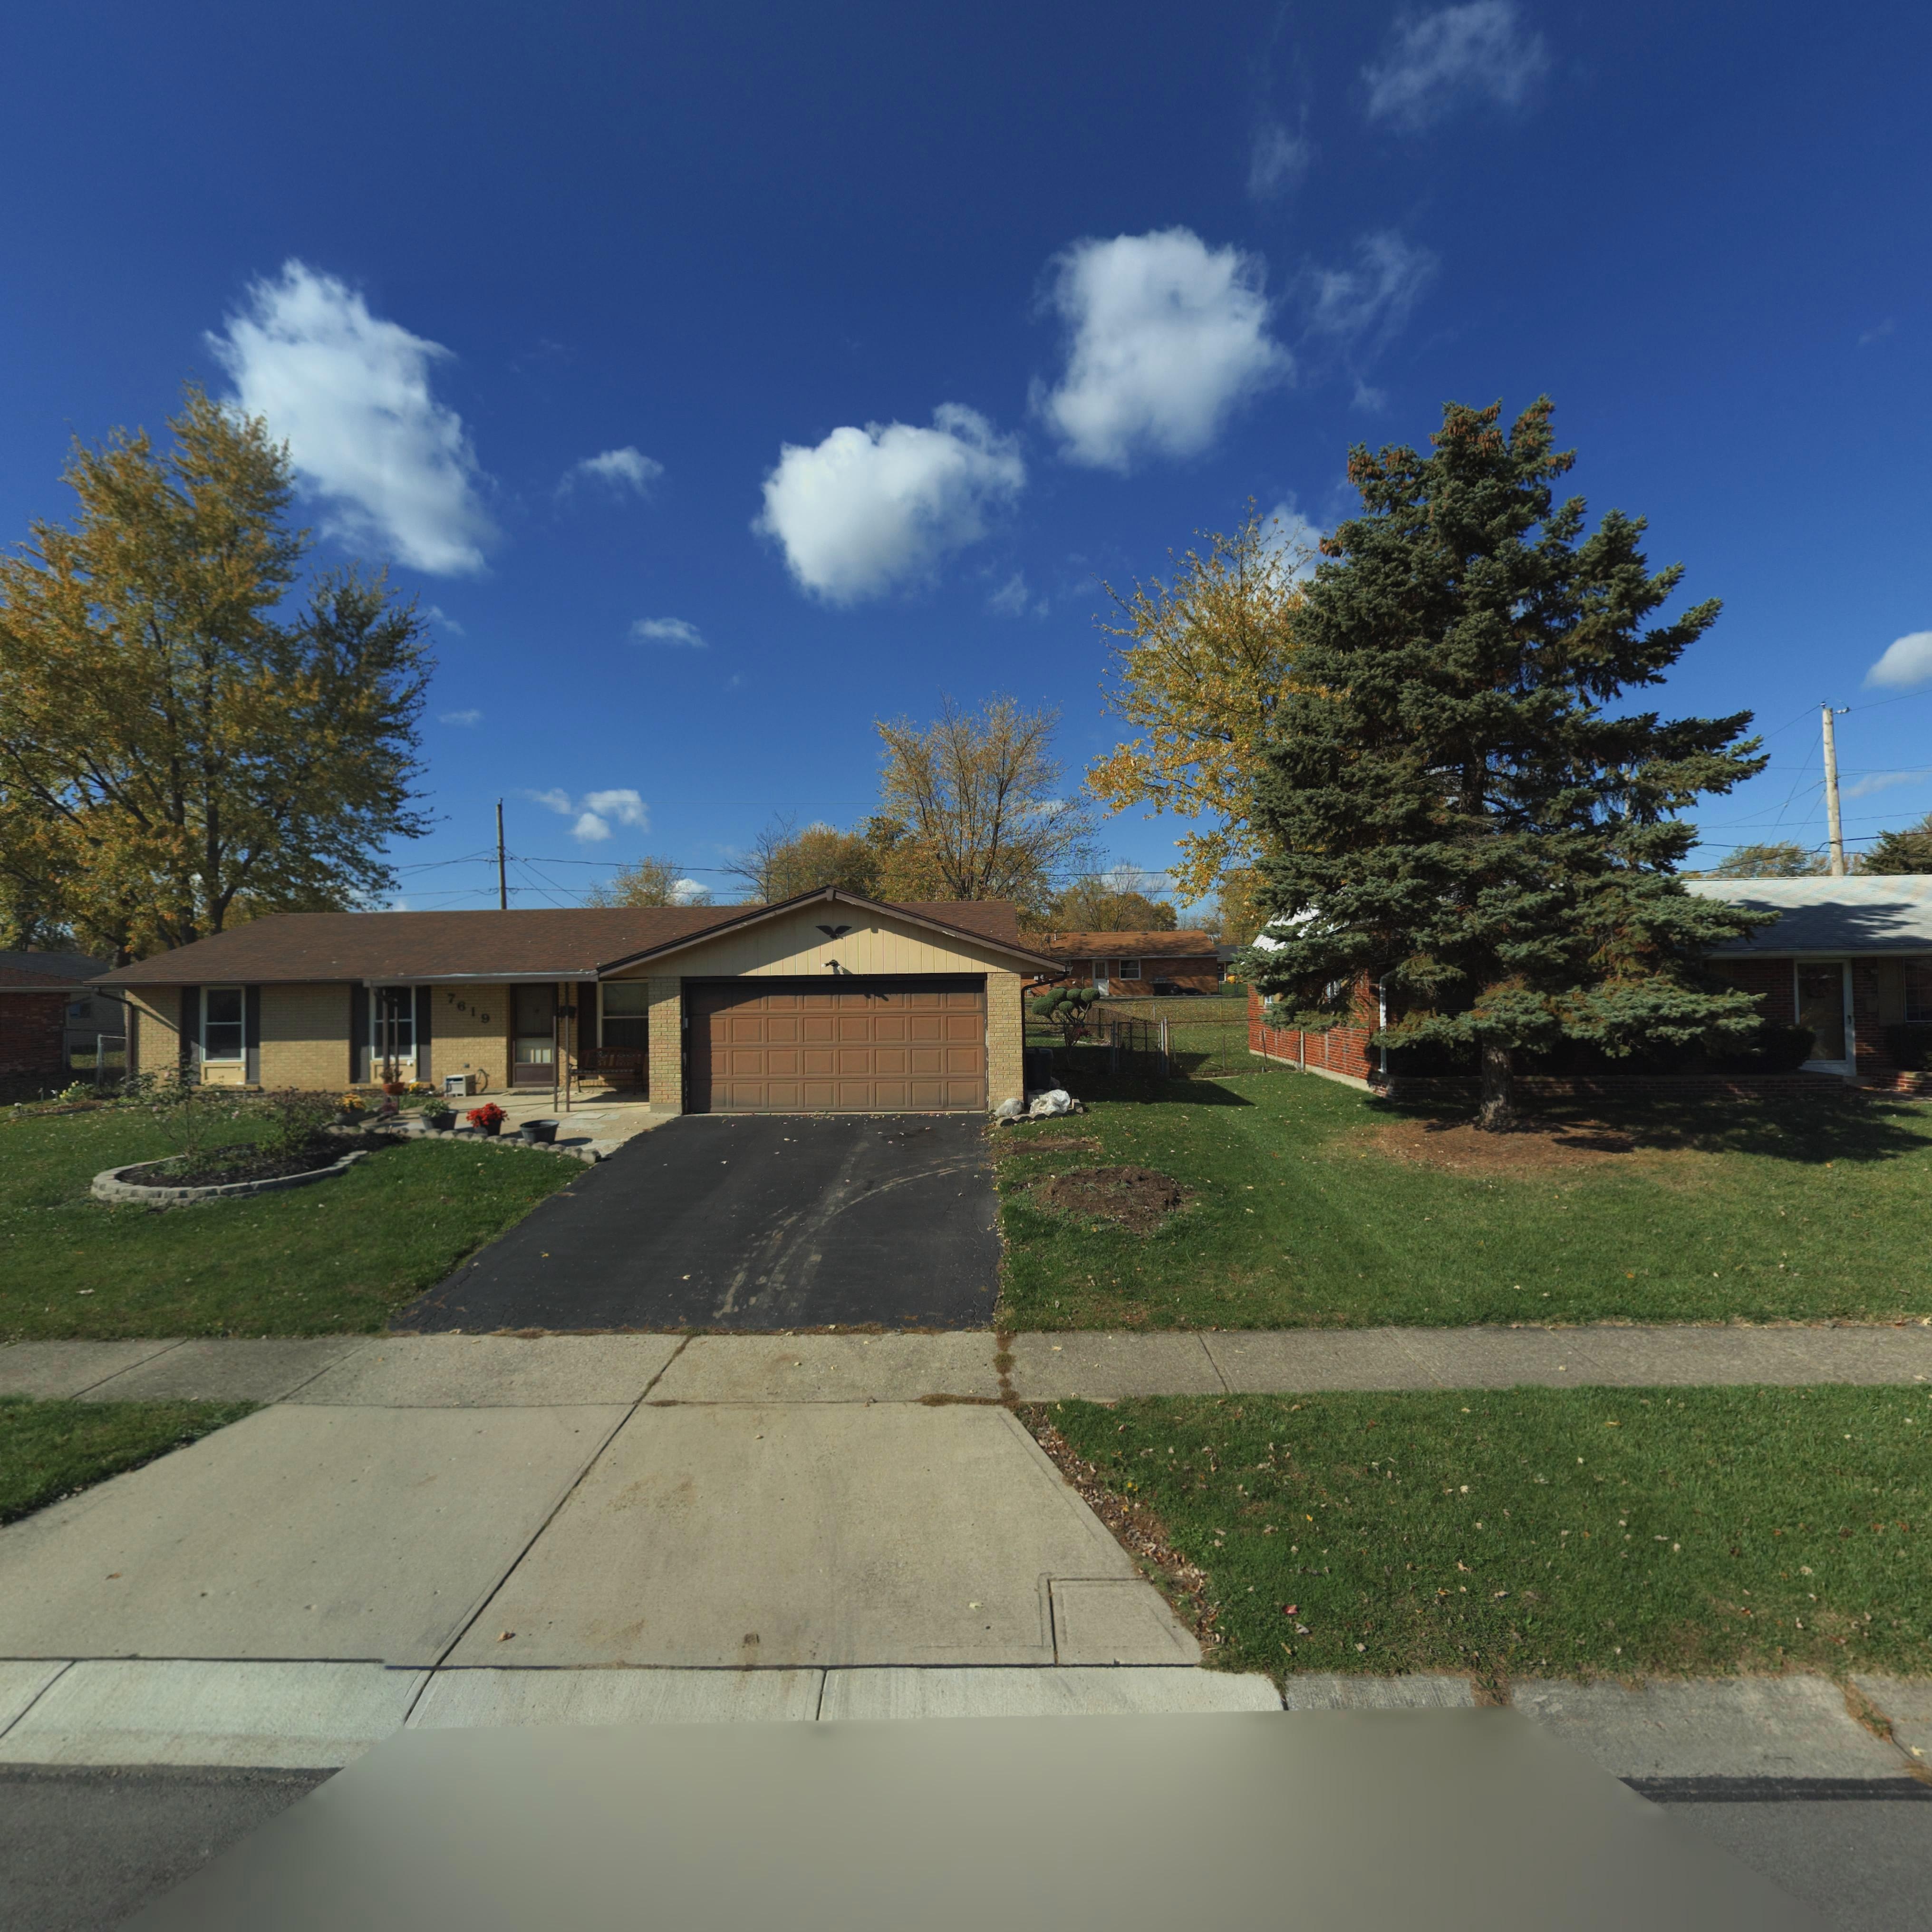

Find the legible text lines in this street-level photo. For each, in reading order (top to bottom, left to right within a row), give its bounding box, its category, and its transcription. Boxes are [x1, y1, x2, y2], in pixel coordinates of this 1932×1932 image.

[446, 992, 492, 1025] StreetNumber: 7619